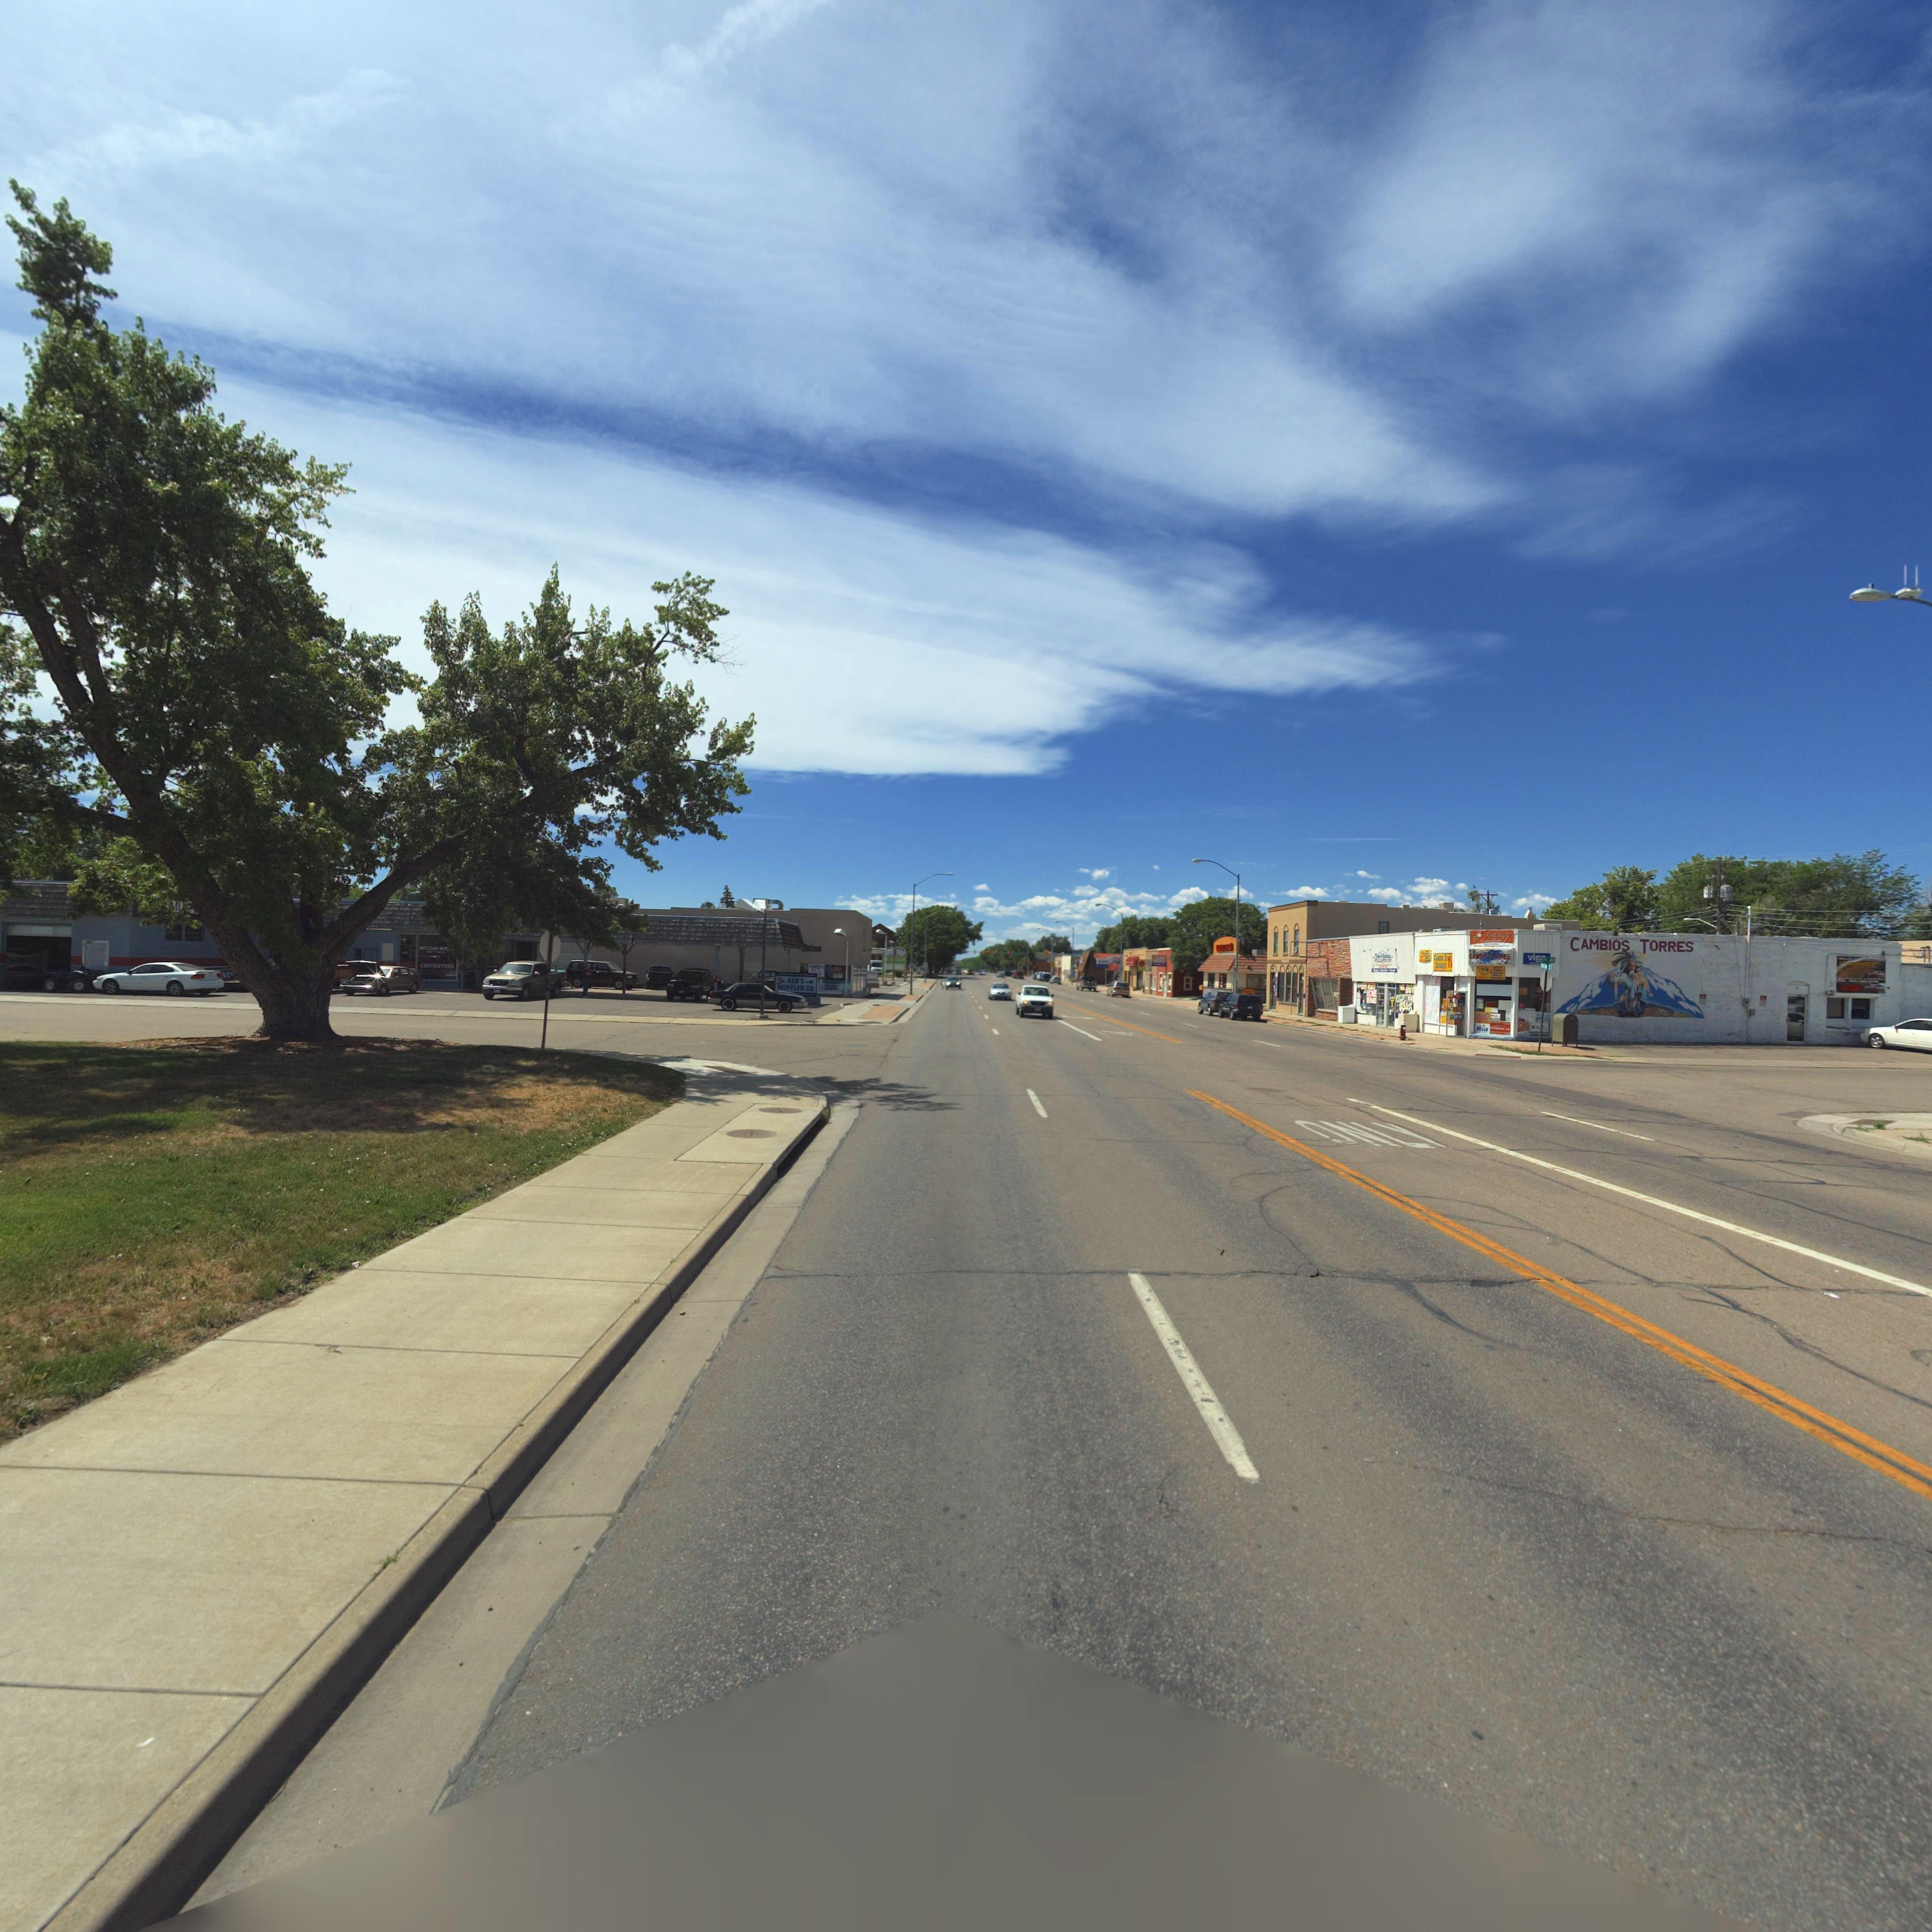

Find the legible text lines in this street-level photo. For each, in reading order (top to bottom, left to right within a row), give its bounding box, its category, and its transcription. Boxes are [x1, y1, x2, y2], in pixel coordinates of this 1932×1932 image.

[1570, 937, 1694, 954] BusinessName: CAMBIOS TORRES
[1468, 953, 1510, 959] BusinessName: CAMBIOS TORRES
[1539, 957, 1554, 962] StreetName: 10TH AV
[787, 977, 804, 984] BusinessName: KEN'S
[777, 984, 814, 991] BusinessName: MUFFLER CO